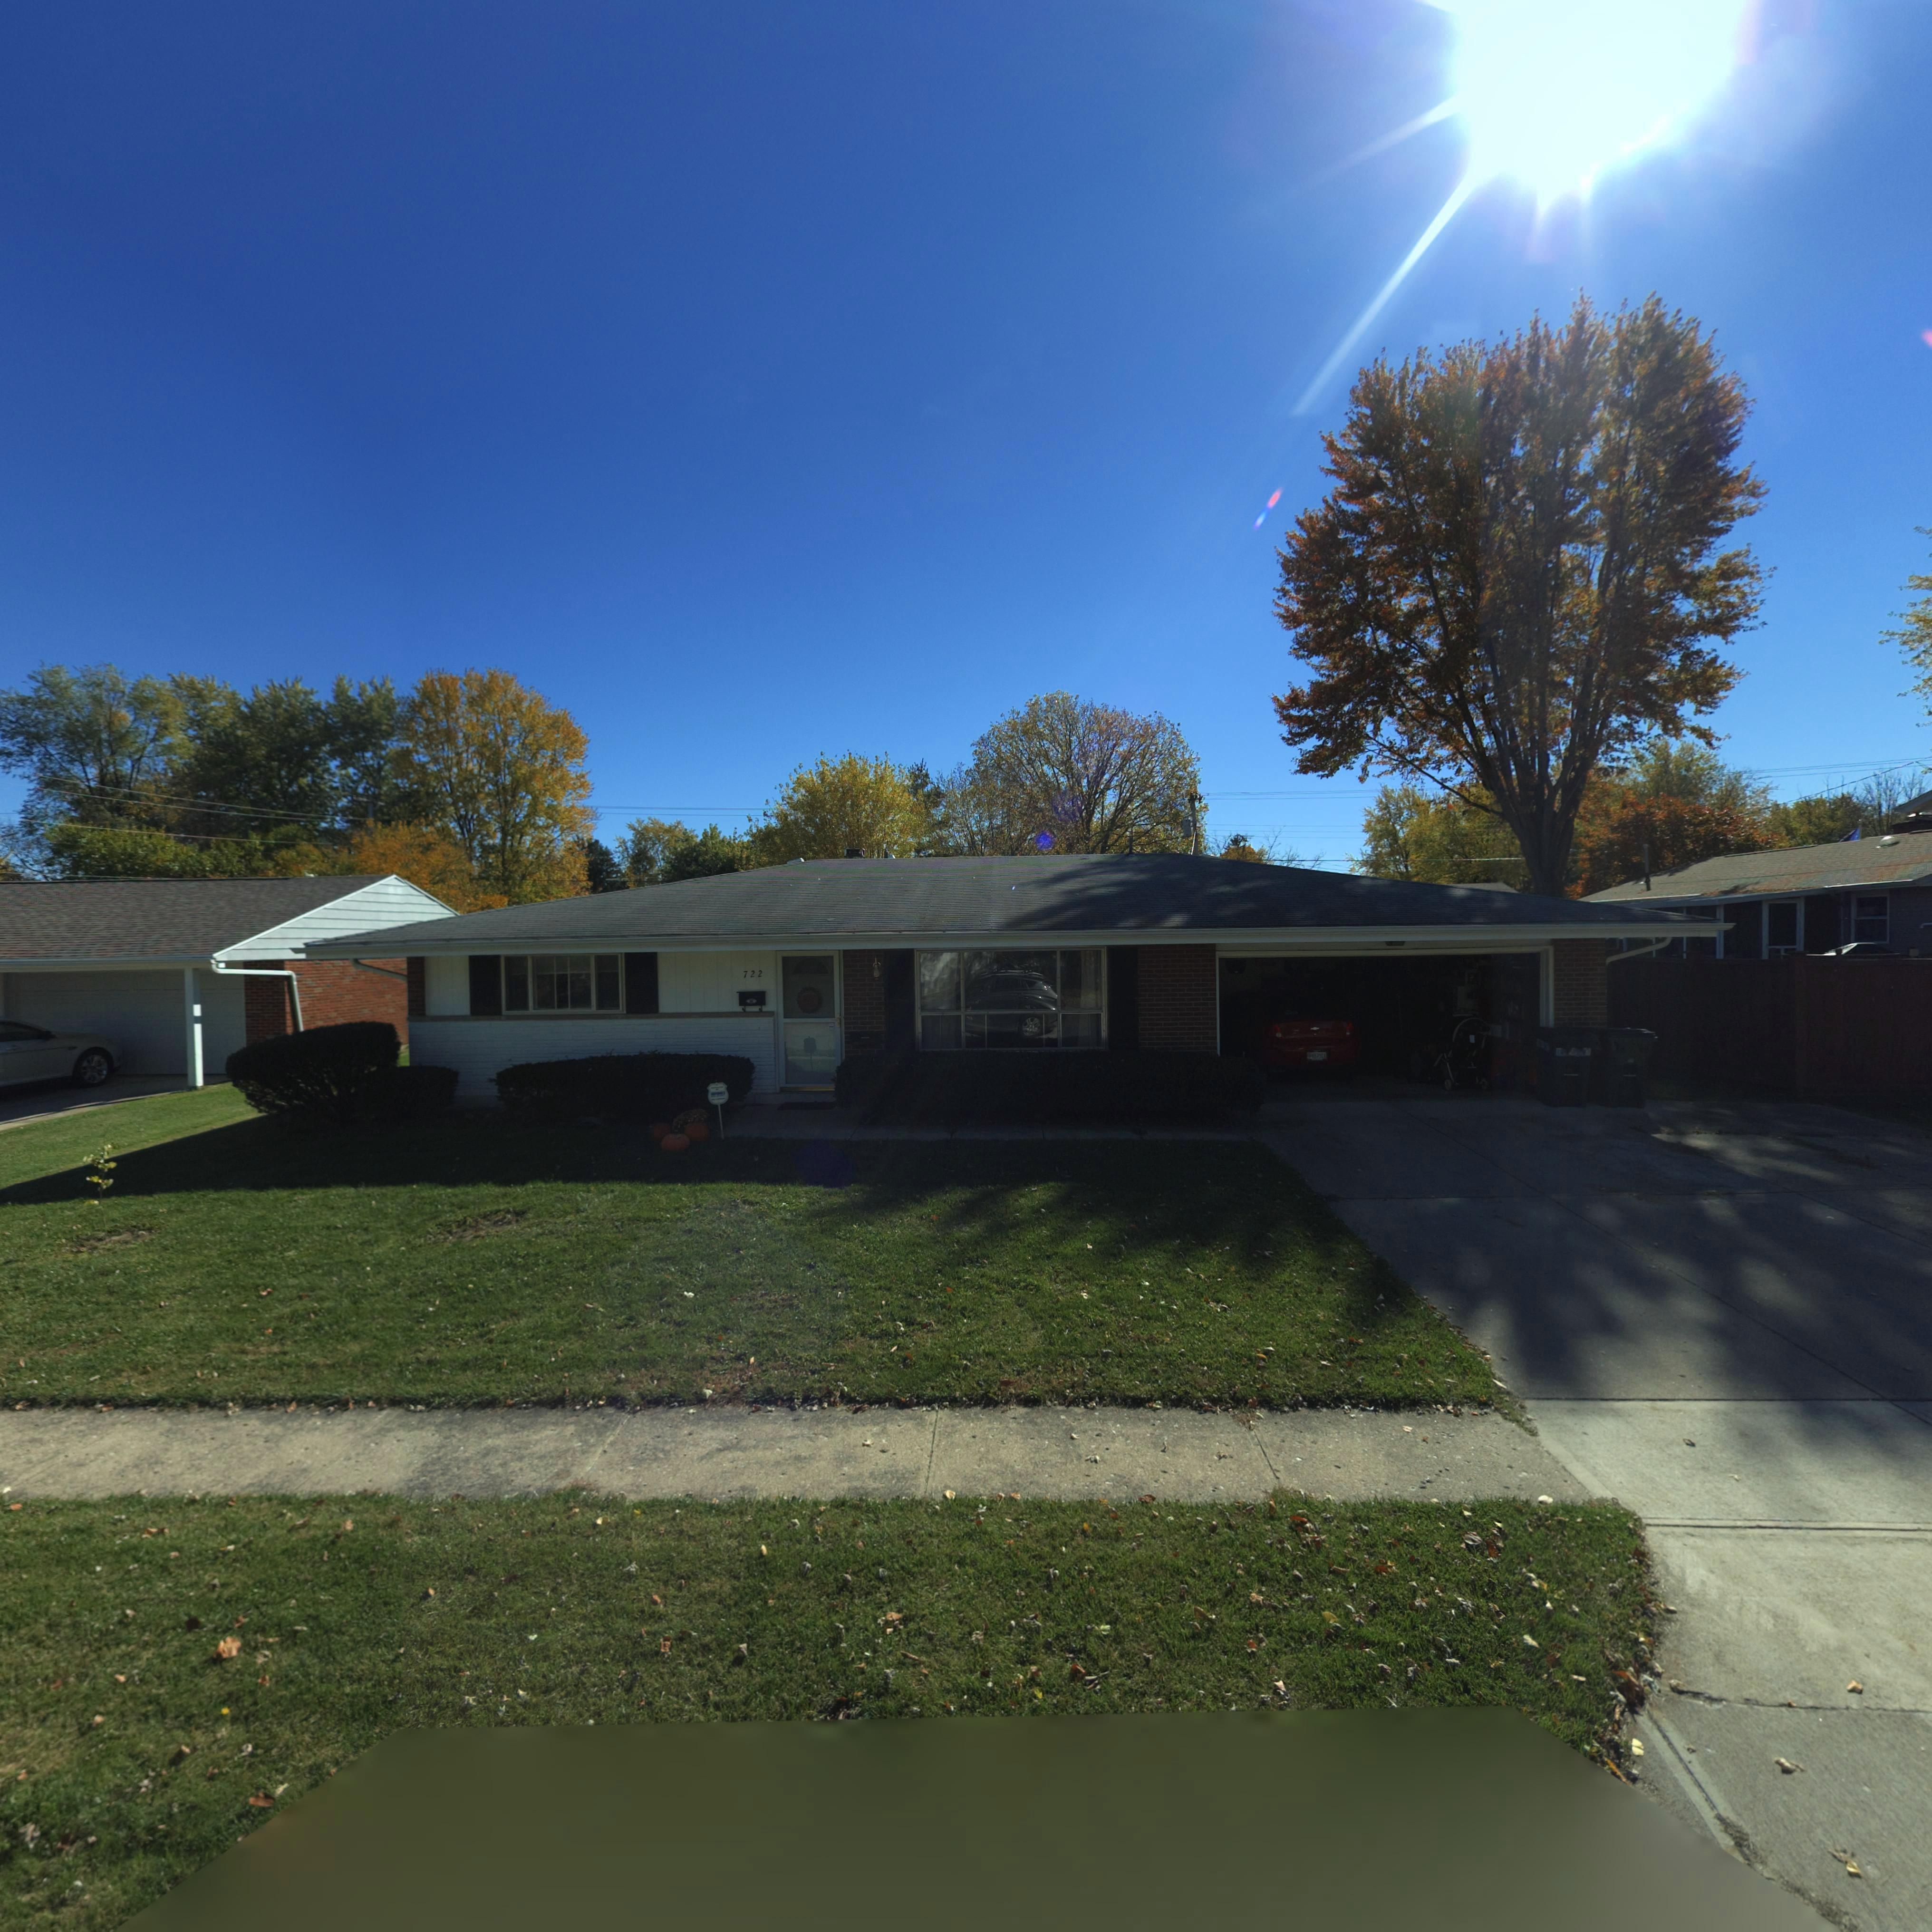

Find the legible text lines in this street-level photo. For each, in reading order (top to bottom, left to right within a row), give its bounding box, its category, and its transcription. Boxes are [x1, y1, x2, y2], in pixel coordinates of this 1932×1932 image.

[743, 970, 763, 978] StreetNumber: 722